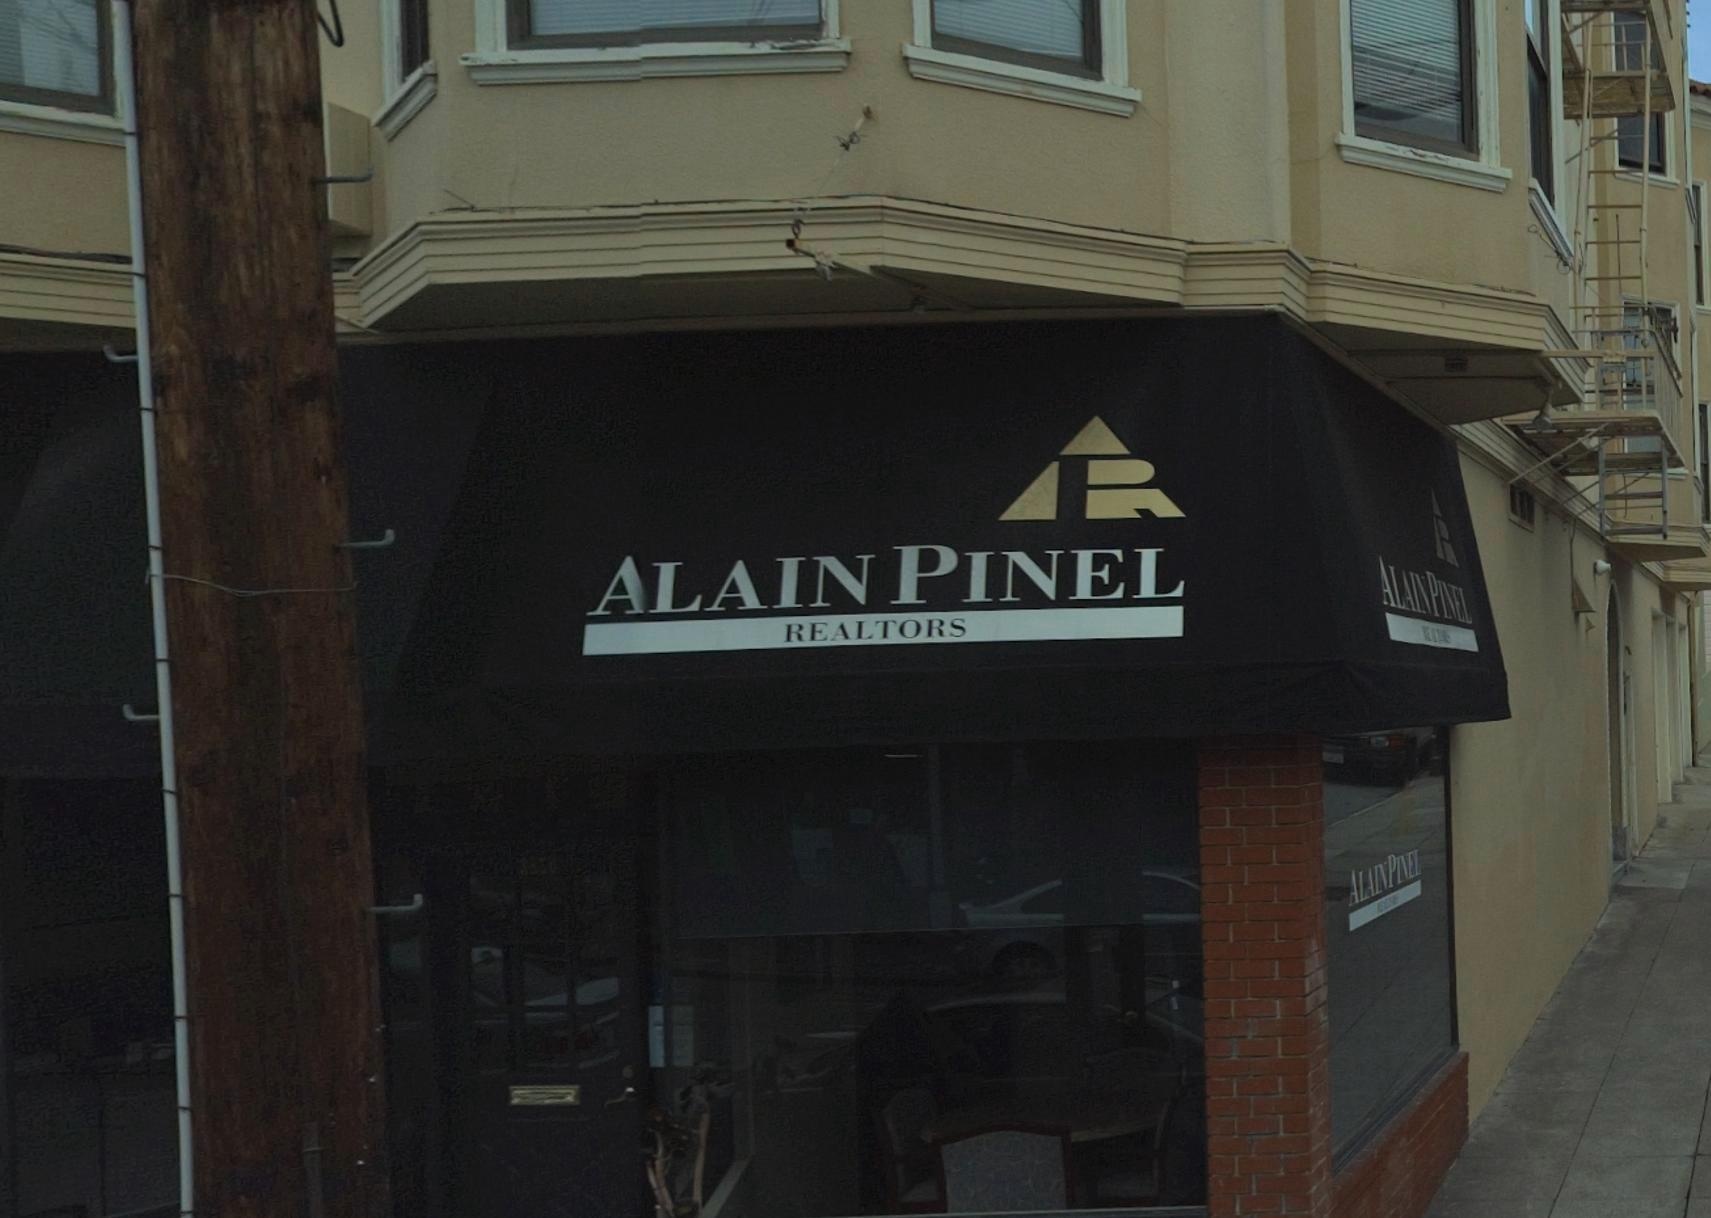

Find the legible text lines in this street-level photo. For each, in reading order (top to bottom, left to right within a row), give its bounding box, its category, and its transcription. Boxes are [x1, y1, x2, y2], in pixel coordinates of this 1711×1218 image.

[581, 541, 1186, 617] BusinessName: ALAIN PINEL
[1377, 554, 1477, 627] BusinessName: ALAIN PINEL
[783, 617, 968, 646] BusinessName: REALTORS
[518, 855, 561, 879] StreetNumber: 3*30
[1345, 843, 1424, 912] BusinessName: ALAIN PINEL